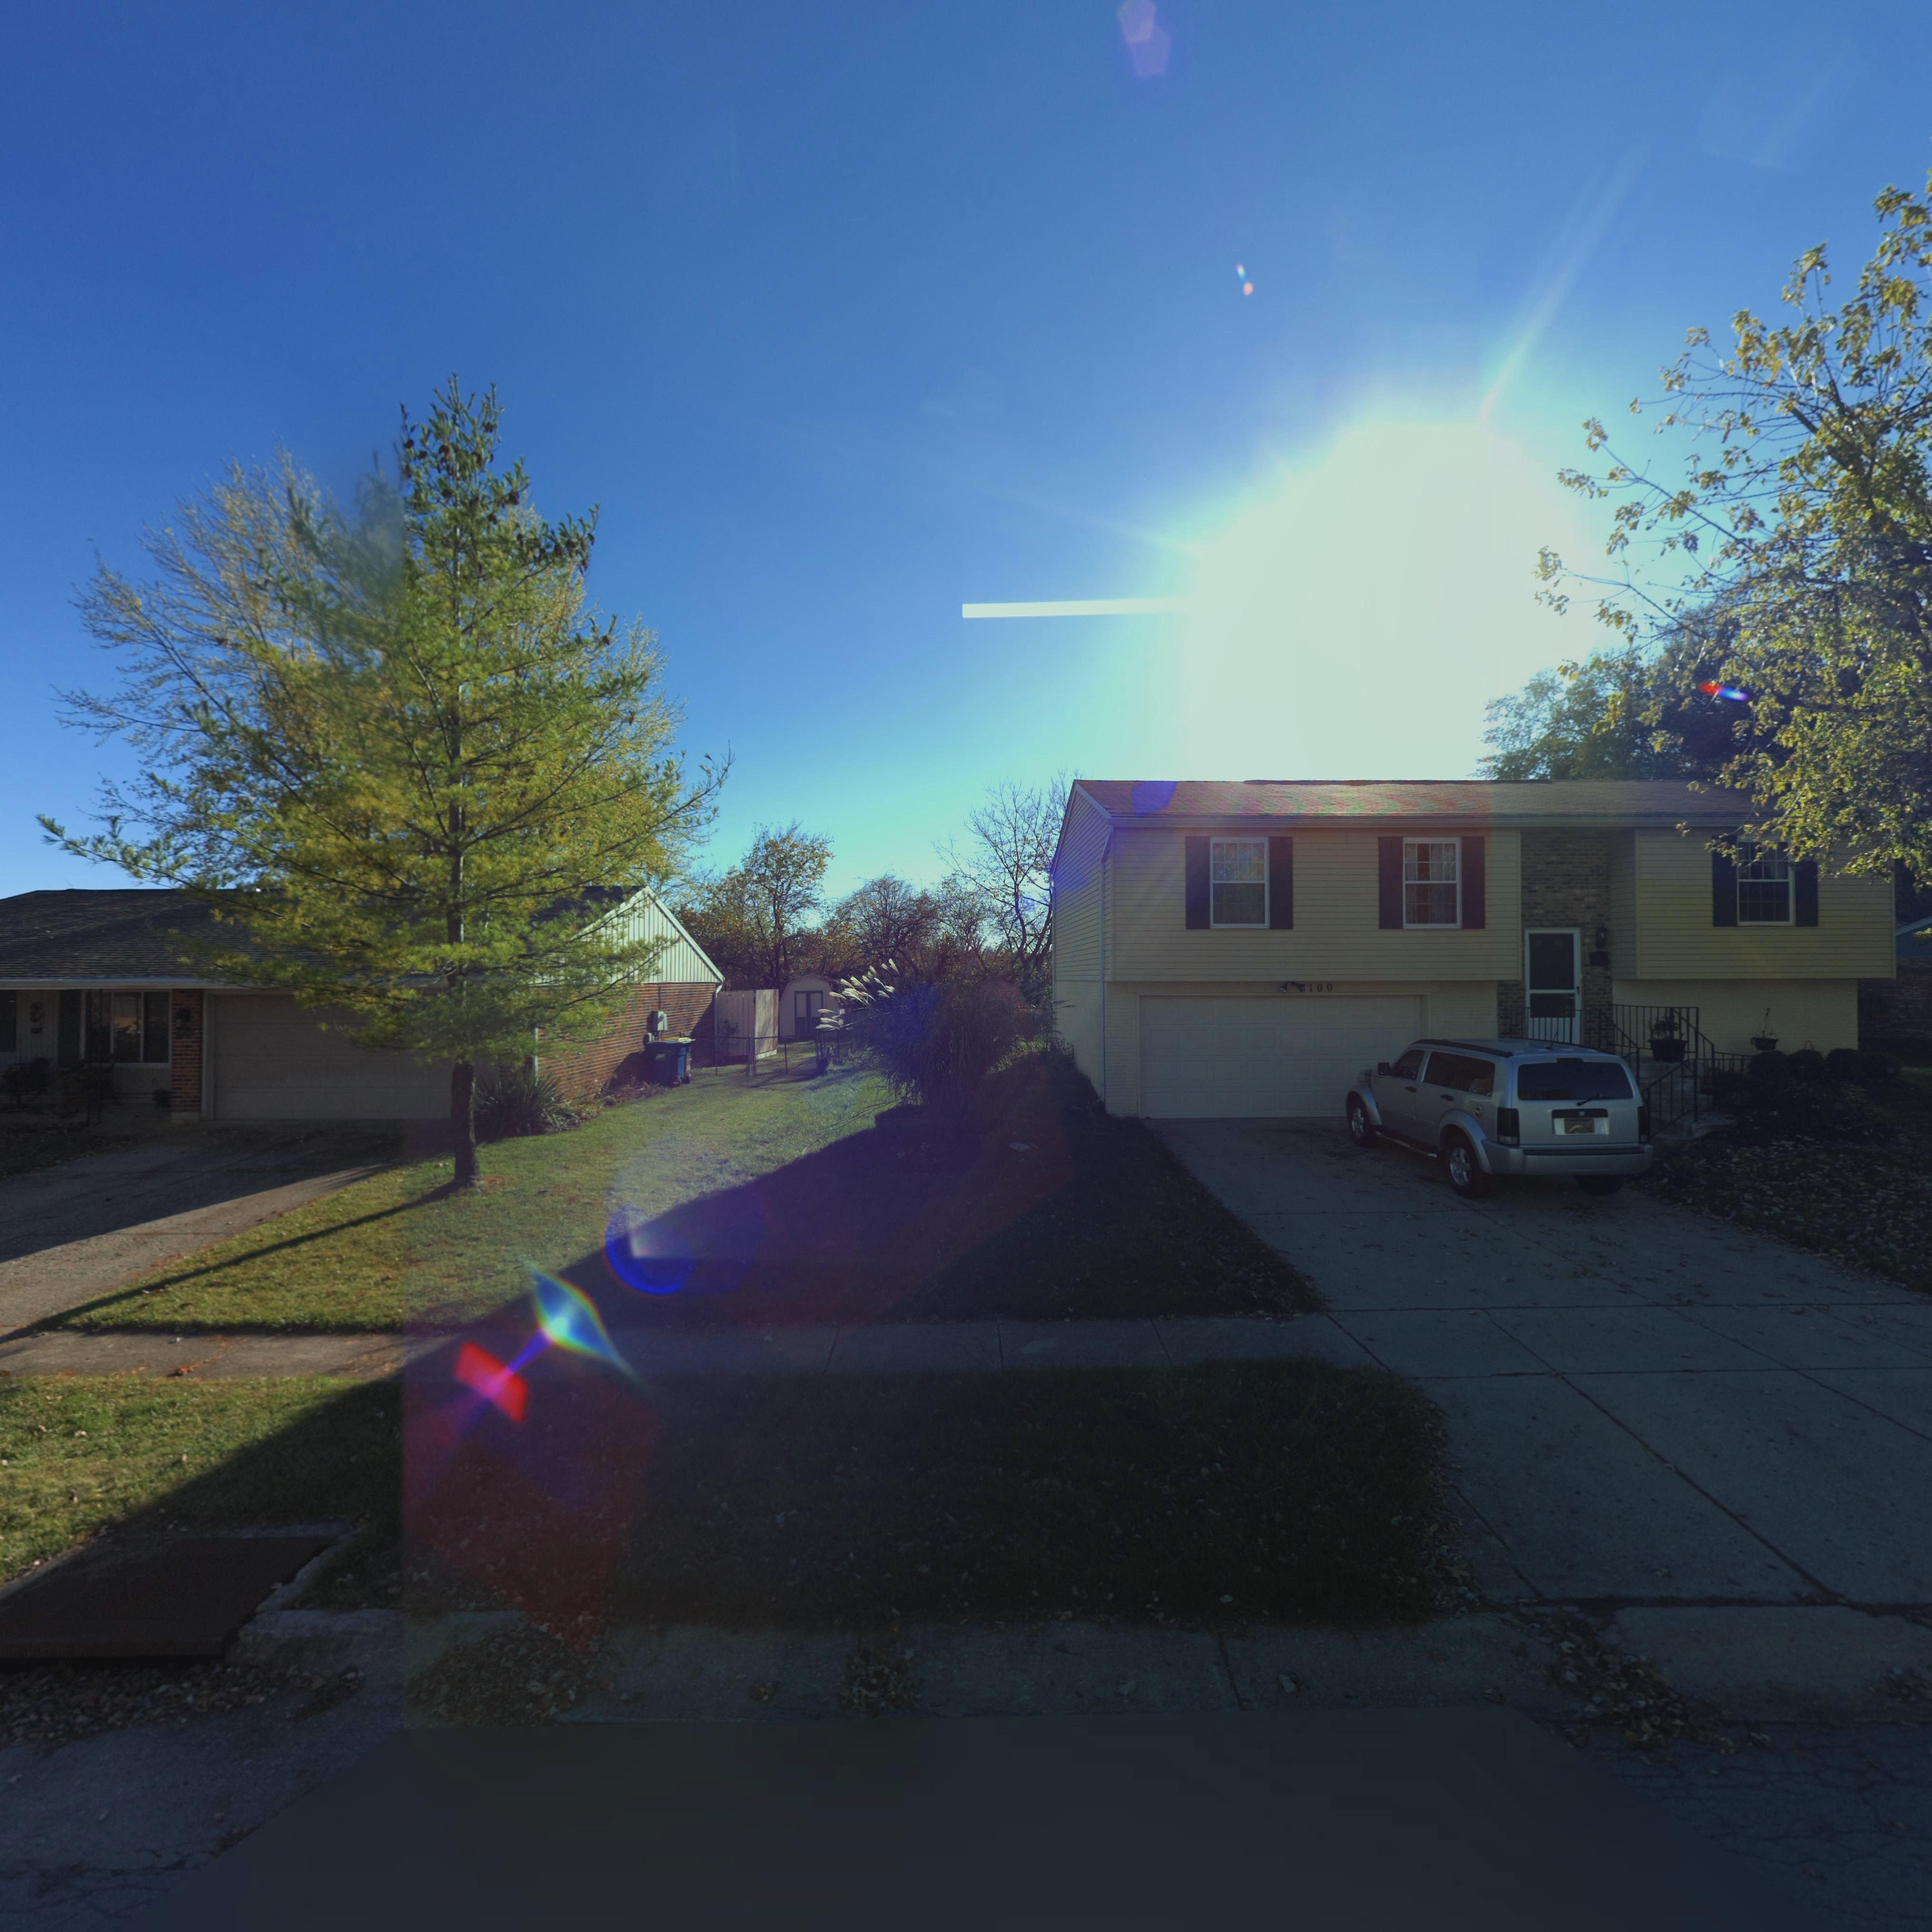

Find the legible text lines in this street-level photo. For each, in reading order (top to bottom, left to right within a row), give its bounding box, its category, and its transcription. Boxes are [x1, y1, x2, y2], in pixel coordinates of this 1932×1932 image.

[1308, 983, 1333, 992] StreetNumber: 100